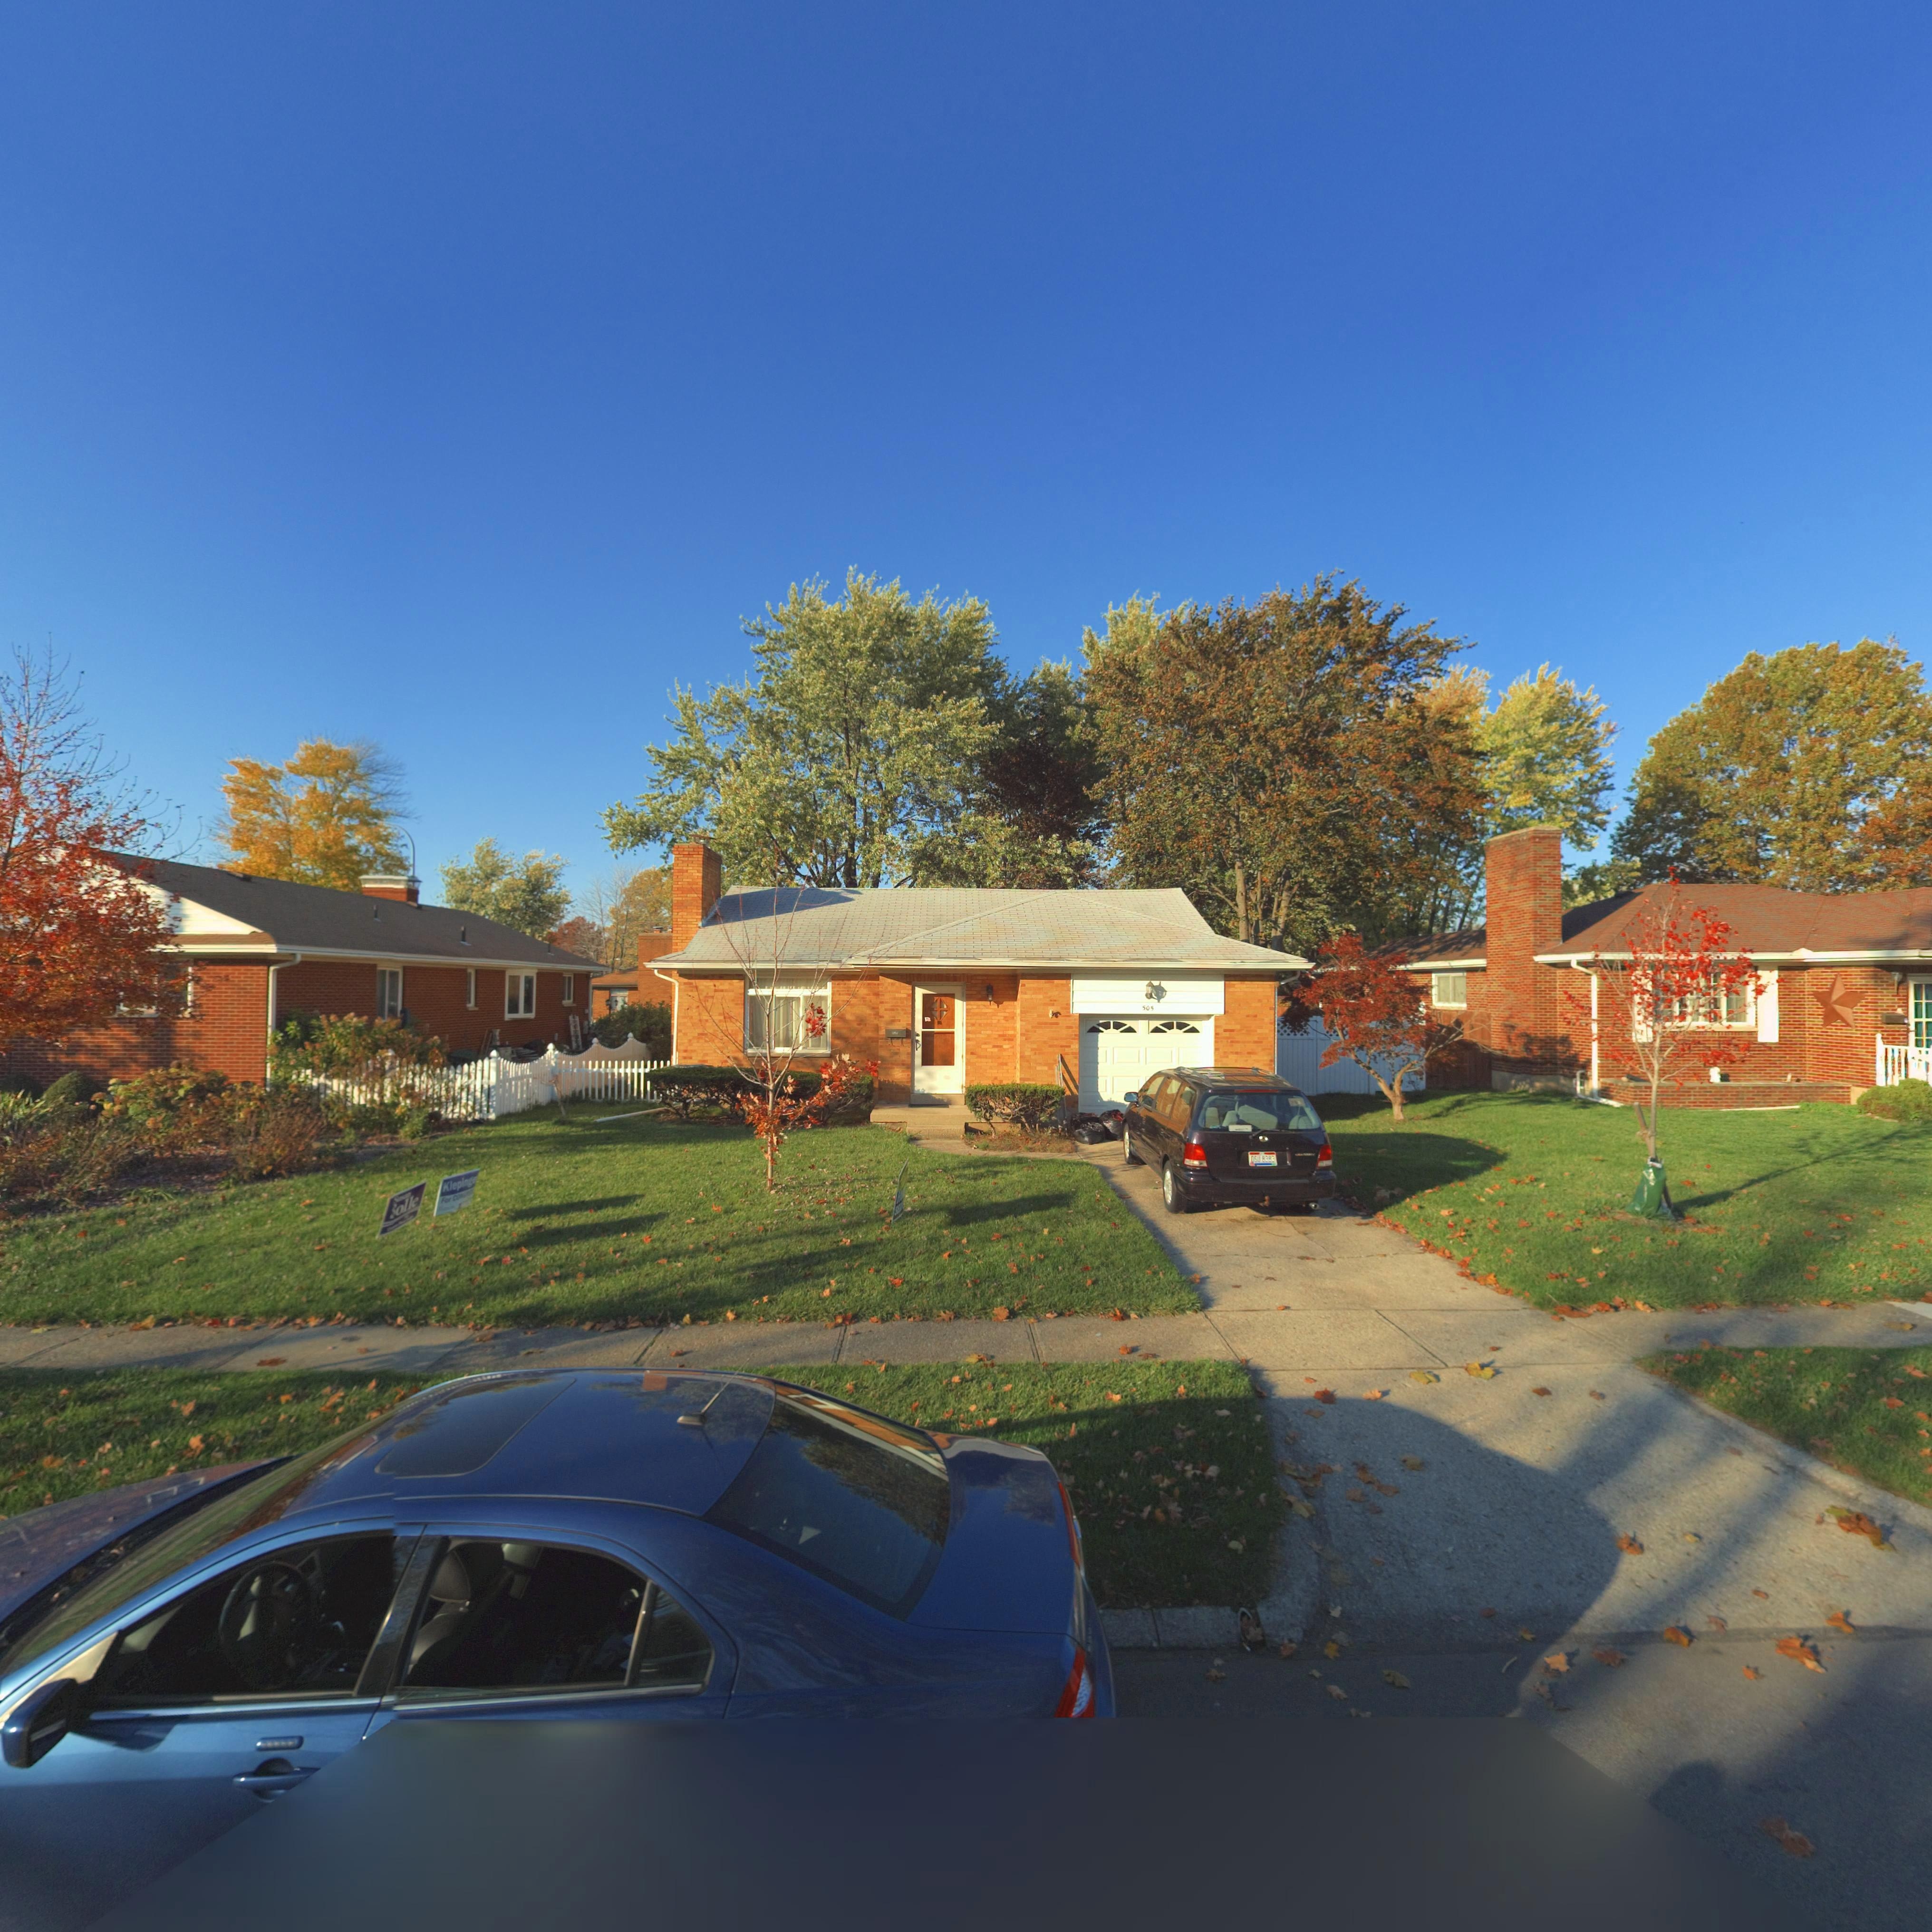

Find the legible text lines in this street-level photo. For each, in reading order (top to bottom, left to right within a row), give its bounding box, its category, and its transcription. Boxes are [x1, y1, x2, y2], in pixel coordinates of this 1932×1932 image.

[1142, 1005, 1155, 1012] StreetNumber: 505